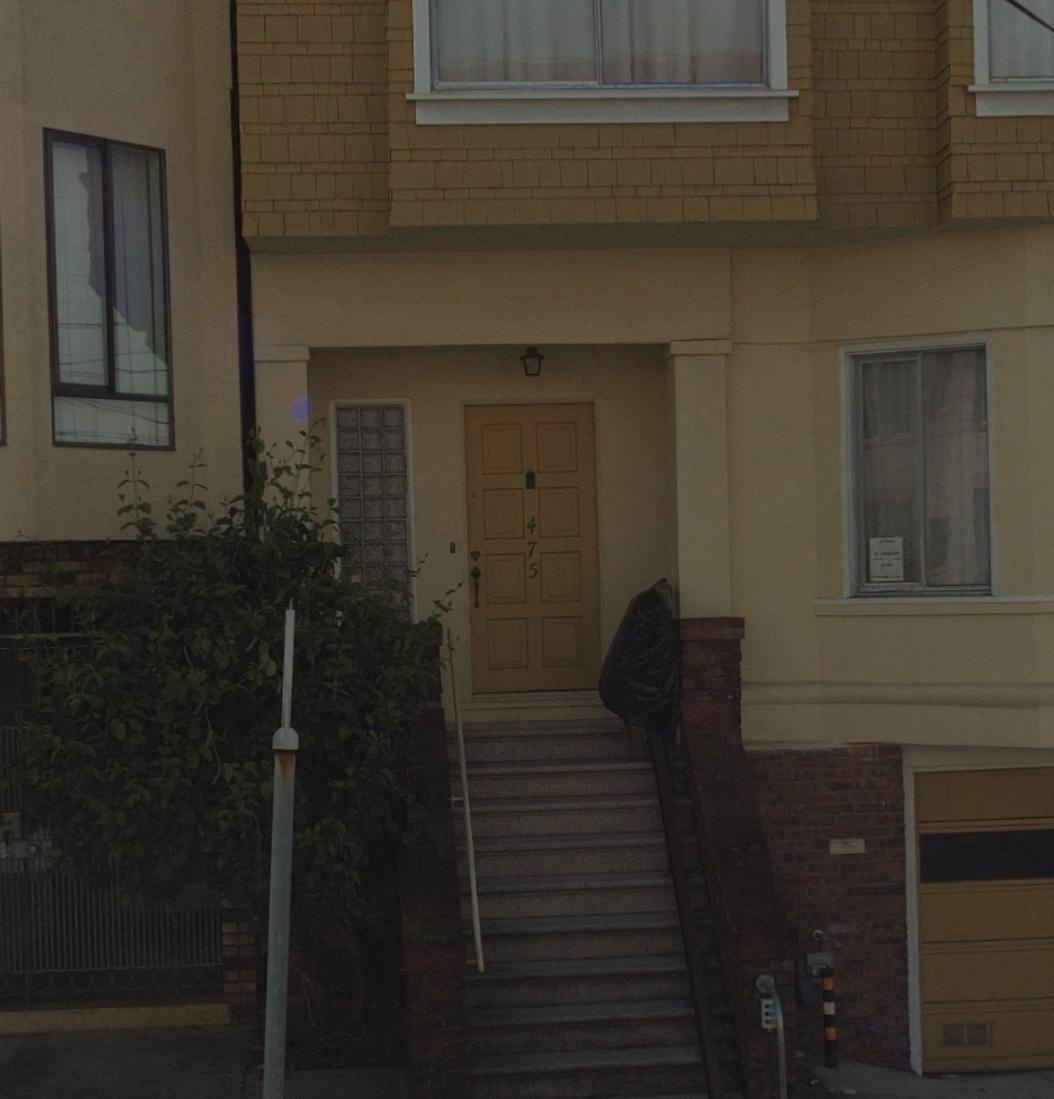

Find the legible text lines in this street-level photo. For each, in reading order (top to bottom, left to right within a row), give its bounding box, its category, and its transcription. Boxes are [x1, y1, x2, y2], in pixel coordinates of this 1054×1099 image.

[525, 515, 539, 580] StreetNumber: 475